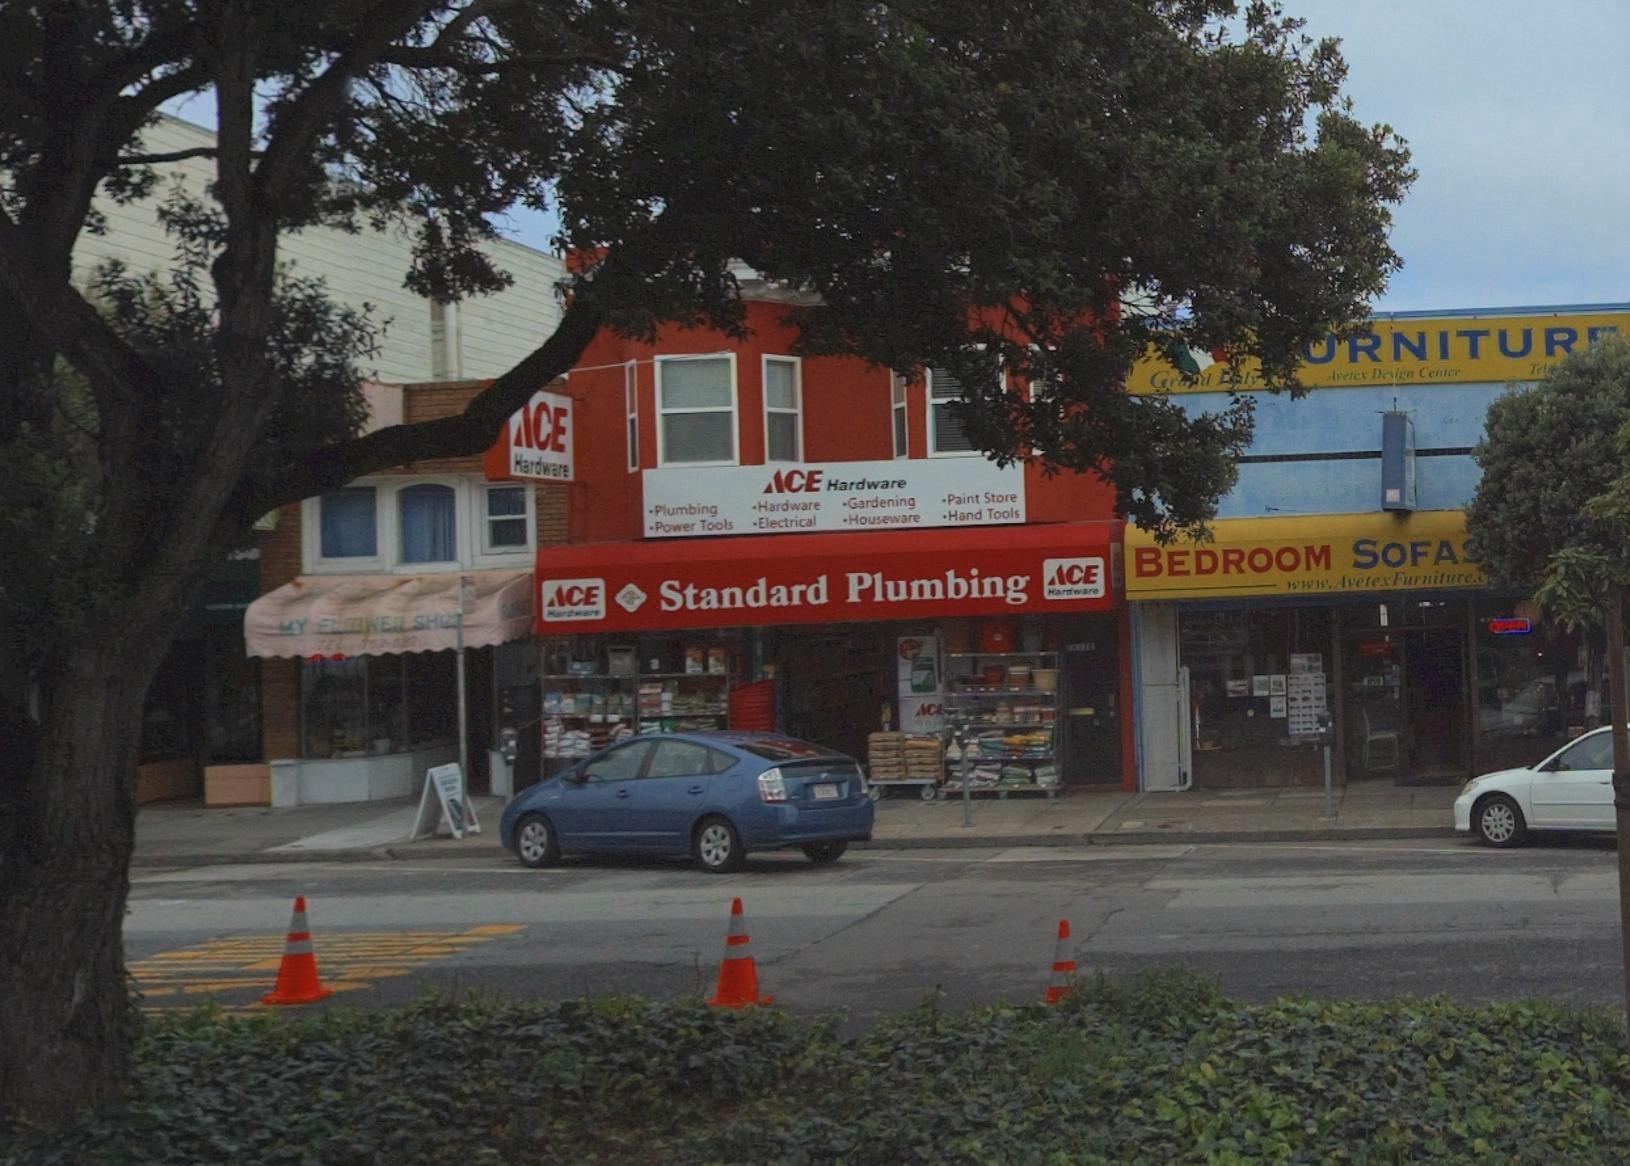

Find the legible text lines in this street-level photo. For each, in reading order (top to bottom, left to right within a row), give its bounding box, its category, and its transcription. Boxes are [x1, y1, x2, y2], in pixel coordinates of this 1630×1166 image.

[1346, 325, 1584, 368] BusinessName: RNITUR
[1145, 366, 1217, 391] None: Gr**d
[1321, 364, 1467, 384] None: Avetex Design Center
[510, 393, 573, 457] BusinessName: ACE
[509, 450, 570, 482] BusinessName: Hardware
[759, 466, 826, 496] BusinessName: ACE
[825, 474, 909, 494] BusinessName: Hardware
[653, 500, 718, 520] None: Plumbing
[652, 517, 735, 534] None: Power Tools
[757, 513, 818, 531] None: Electrical
[756, 496, 822, 514] None: Hardware
[847, 493, 918, 512] None: Gardening
[846, 512, 921, 527] None: Houseware
[944, 490, 1020, 507] None: Paint Store
[945, 506, 1023, 524] None: Hand Tools
[1132, 531, 1469, 581] None: BEDROOM SOFA
[542, 582, 601, 610] BusinessName: ACE
[657, 563, 1035, 615] None: Standard Plumbing
[1042, 562, 1102, 589] BusinessName: ACE
[1044, 586, 1102, 598] BusinessName: Hardware
[1281, 569, 1481, 595] None: www.AvetexFurniture.
[544, 608, 602, 619] BusinessName: Hardware
[274, 609, 457, 639] BusinessName: MT FLOWER SHO
[1487, 617, 1528, 634] None: OPEN
[910, 700, 940, 719] None: AC